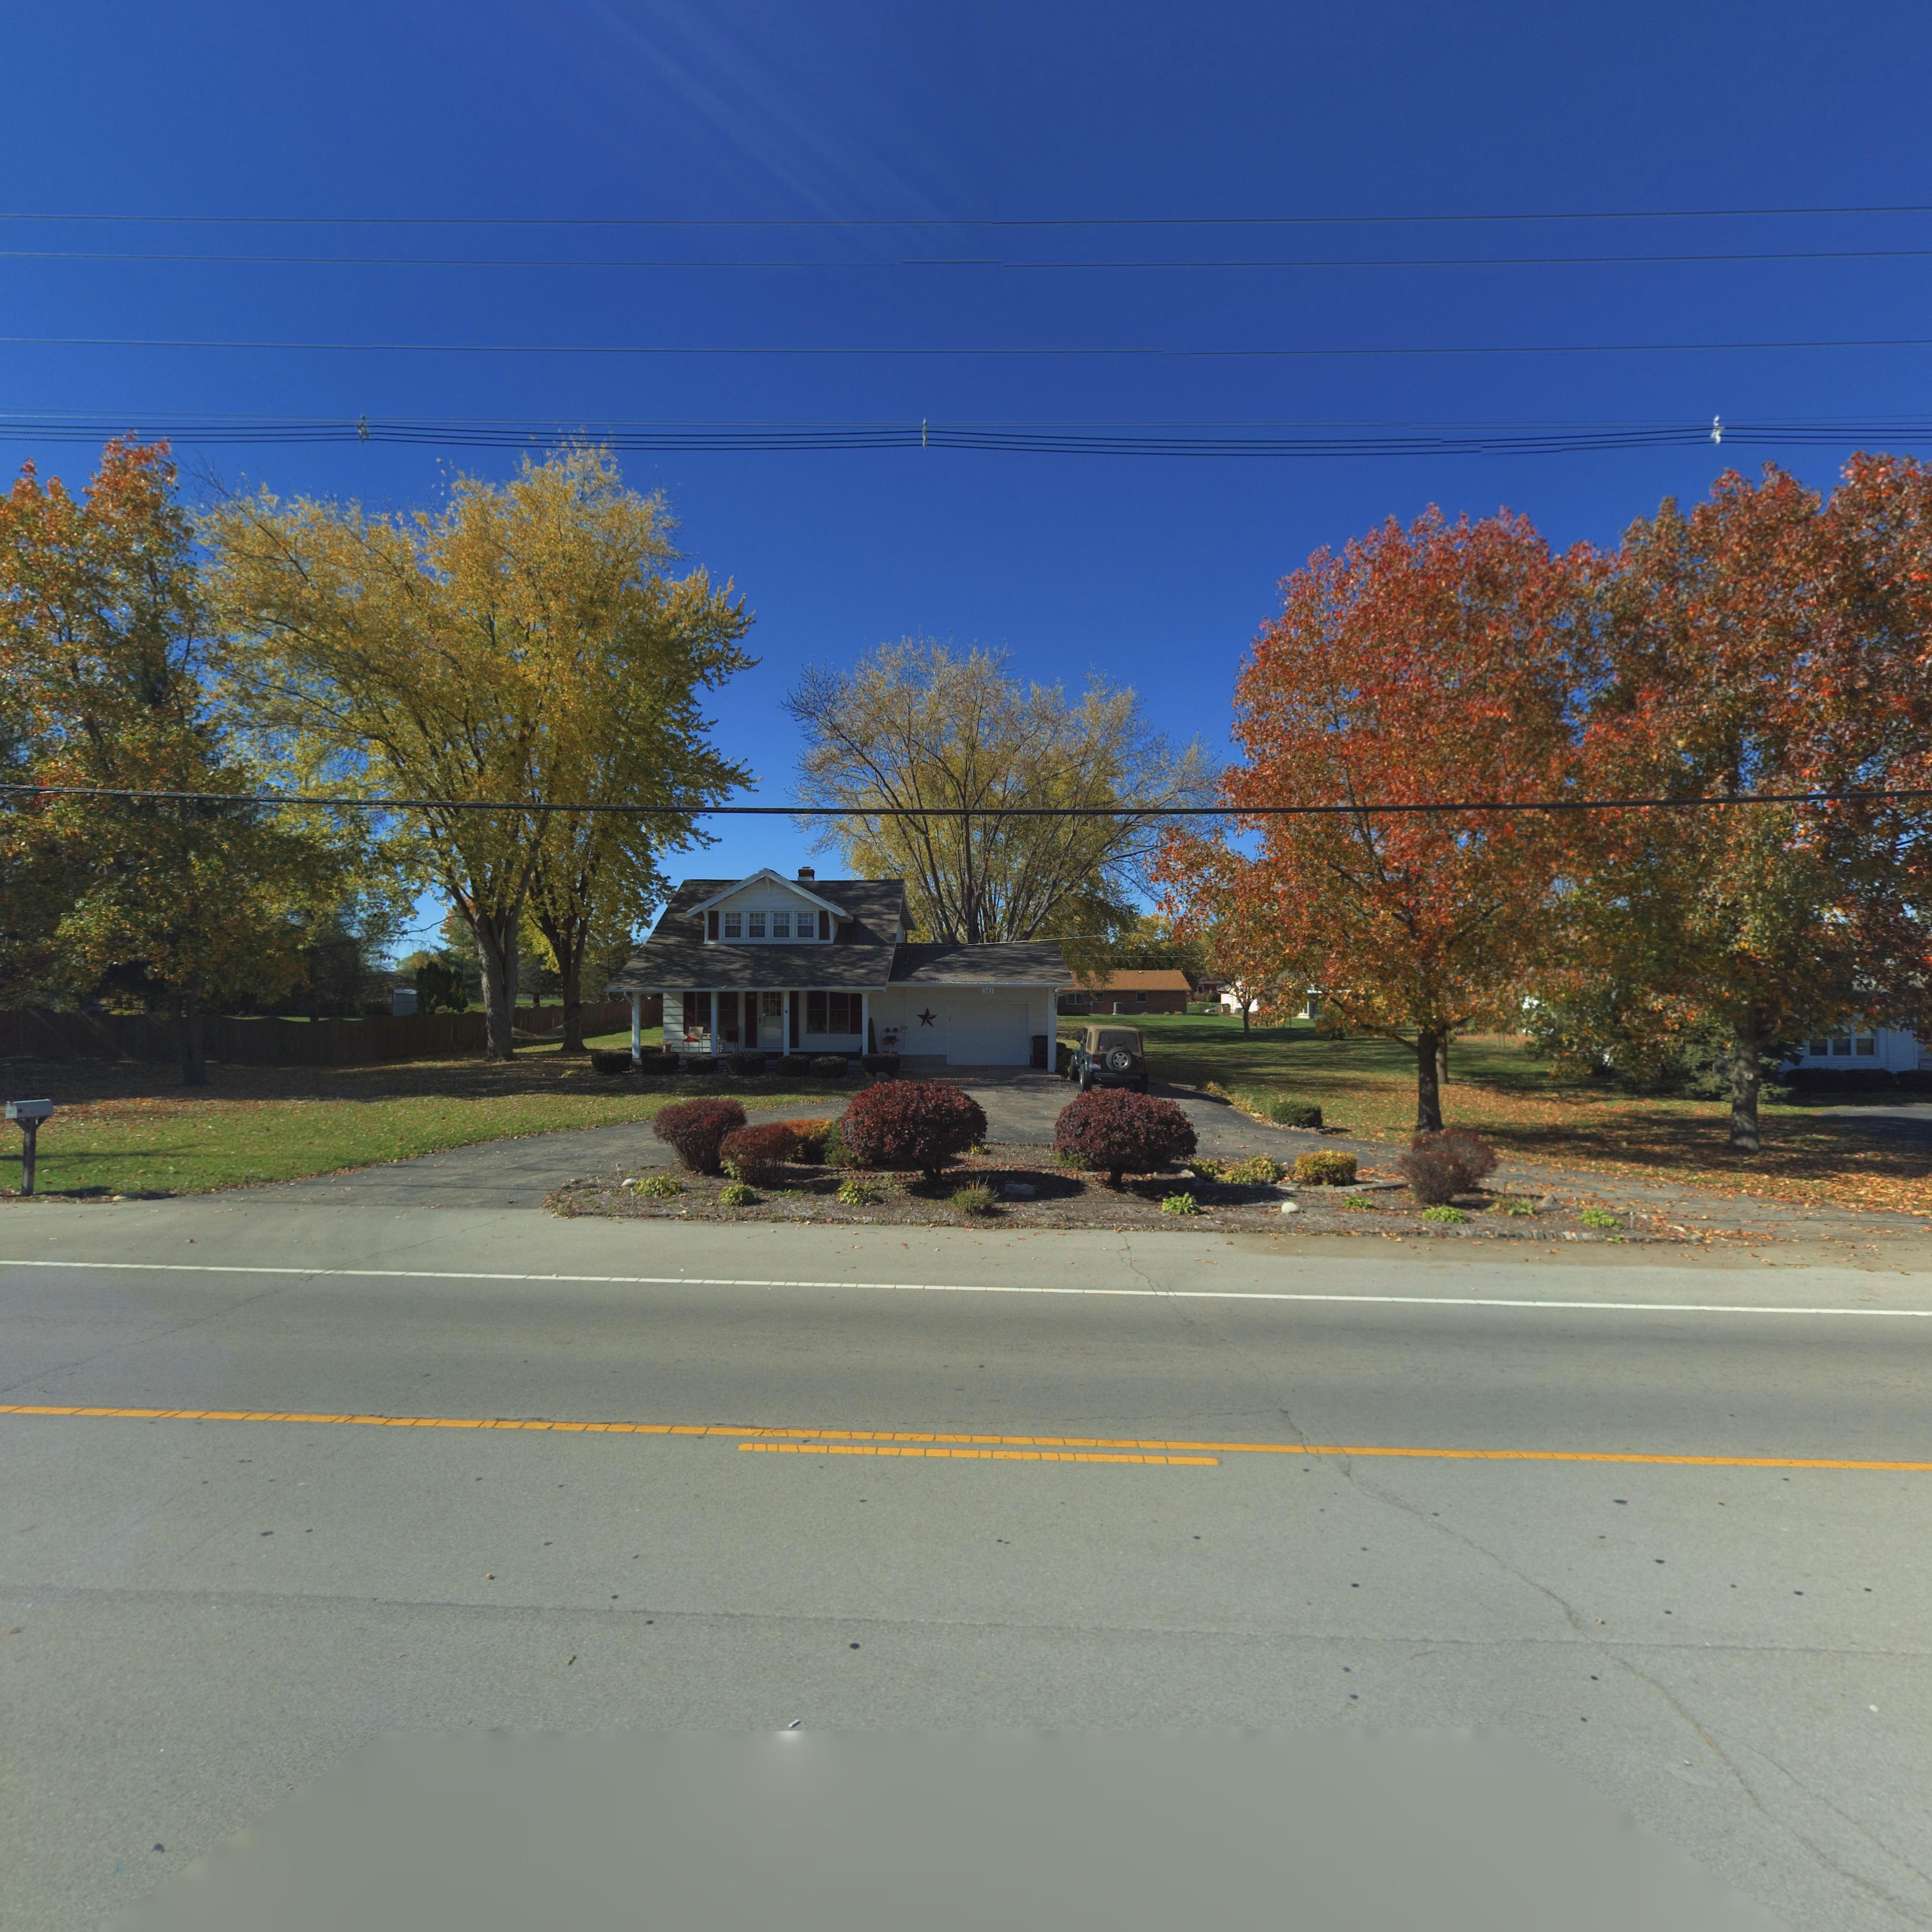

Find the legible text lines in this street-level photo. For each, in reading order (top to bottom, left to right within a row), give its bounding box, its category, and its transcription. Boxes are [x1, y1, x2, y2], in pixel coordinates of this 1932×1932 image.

[983, 987, 994, 994] StreetNumber: 985